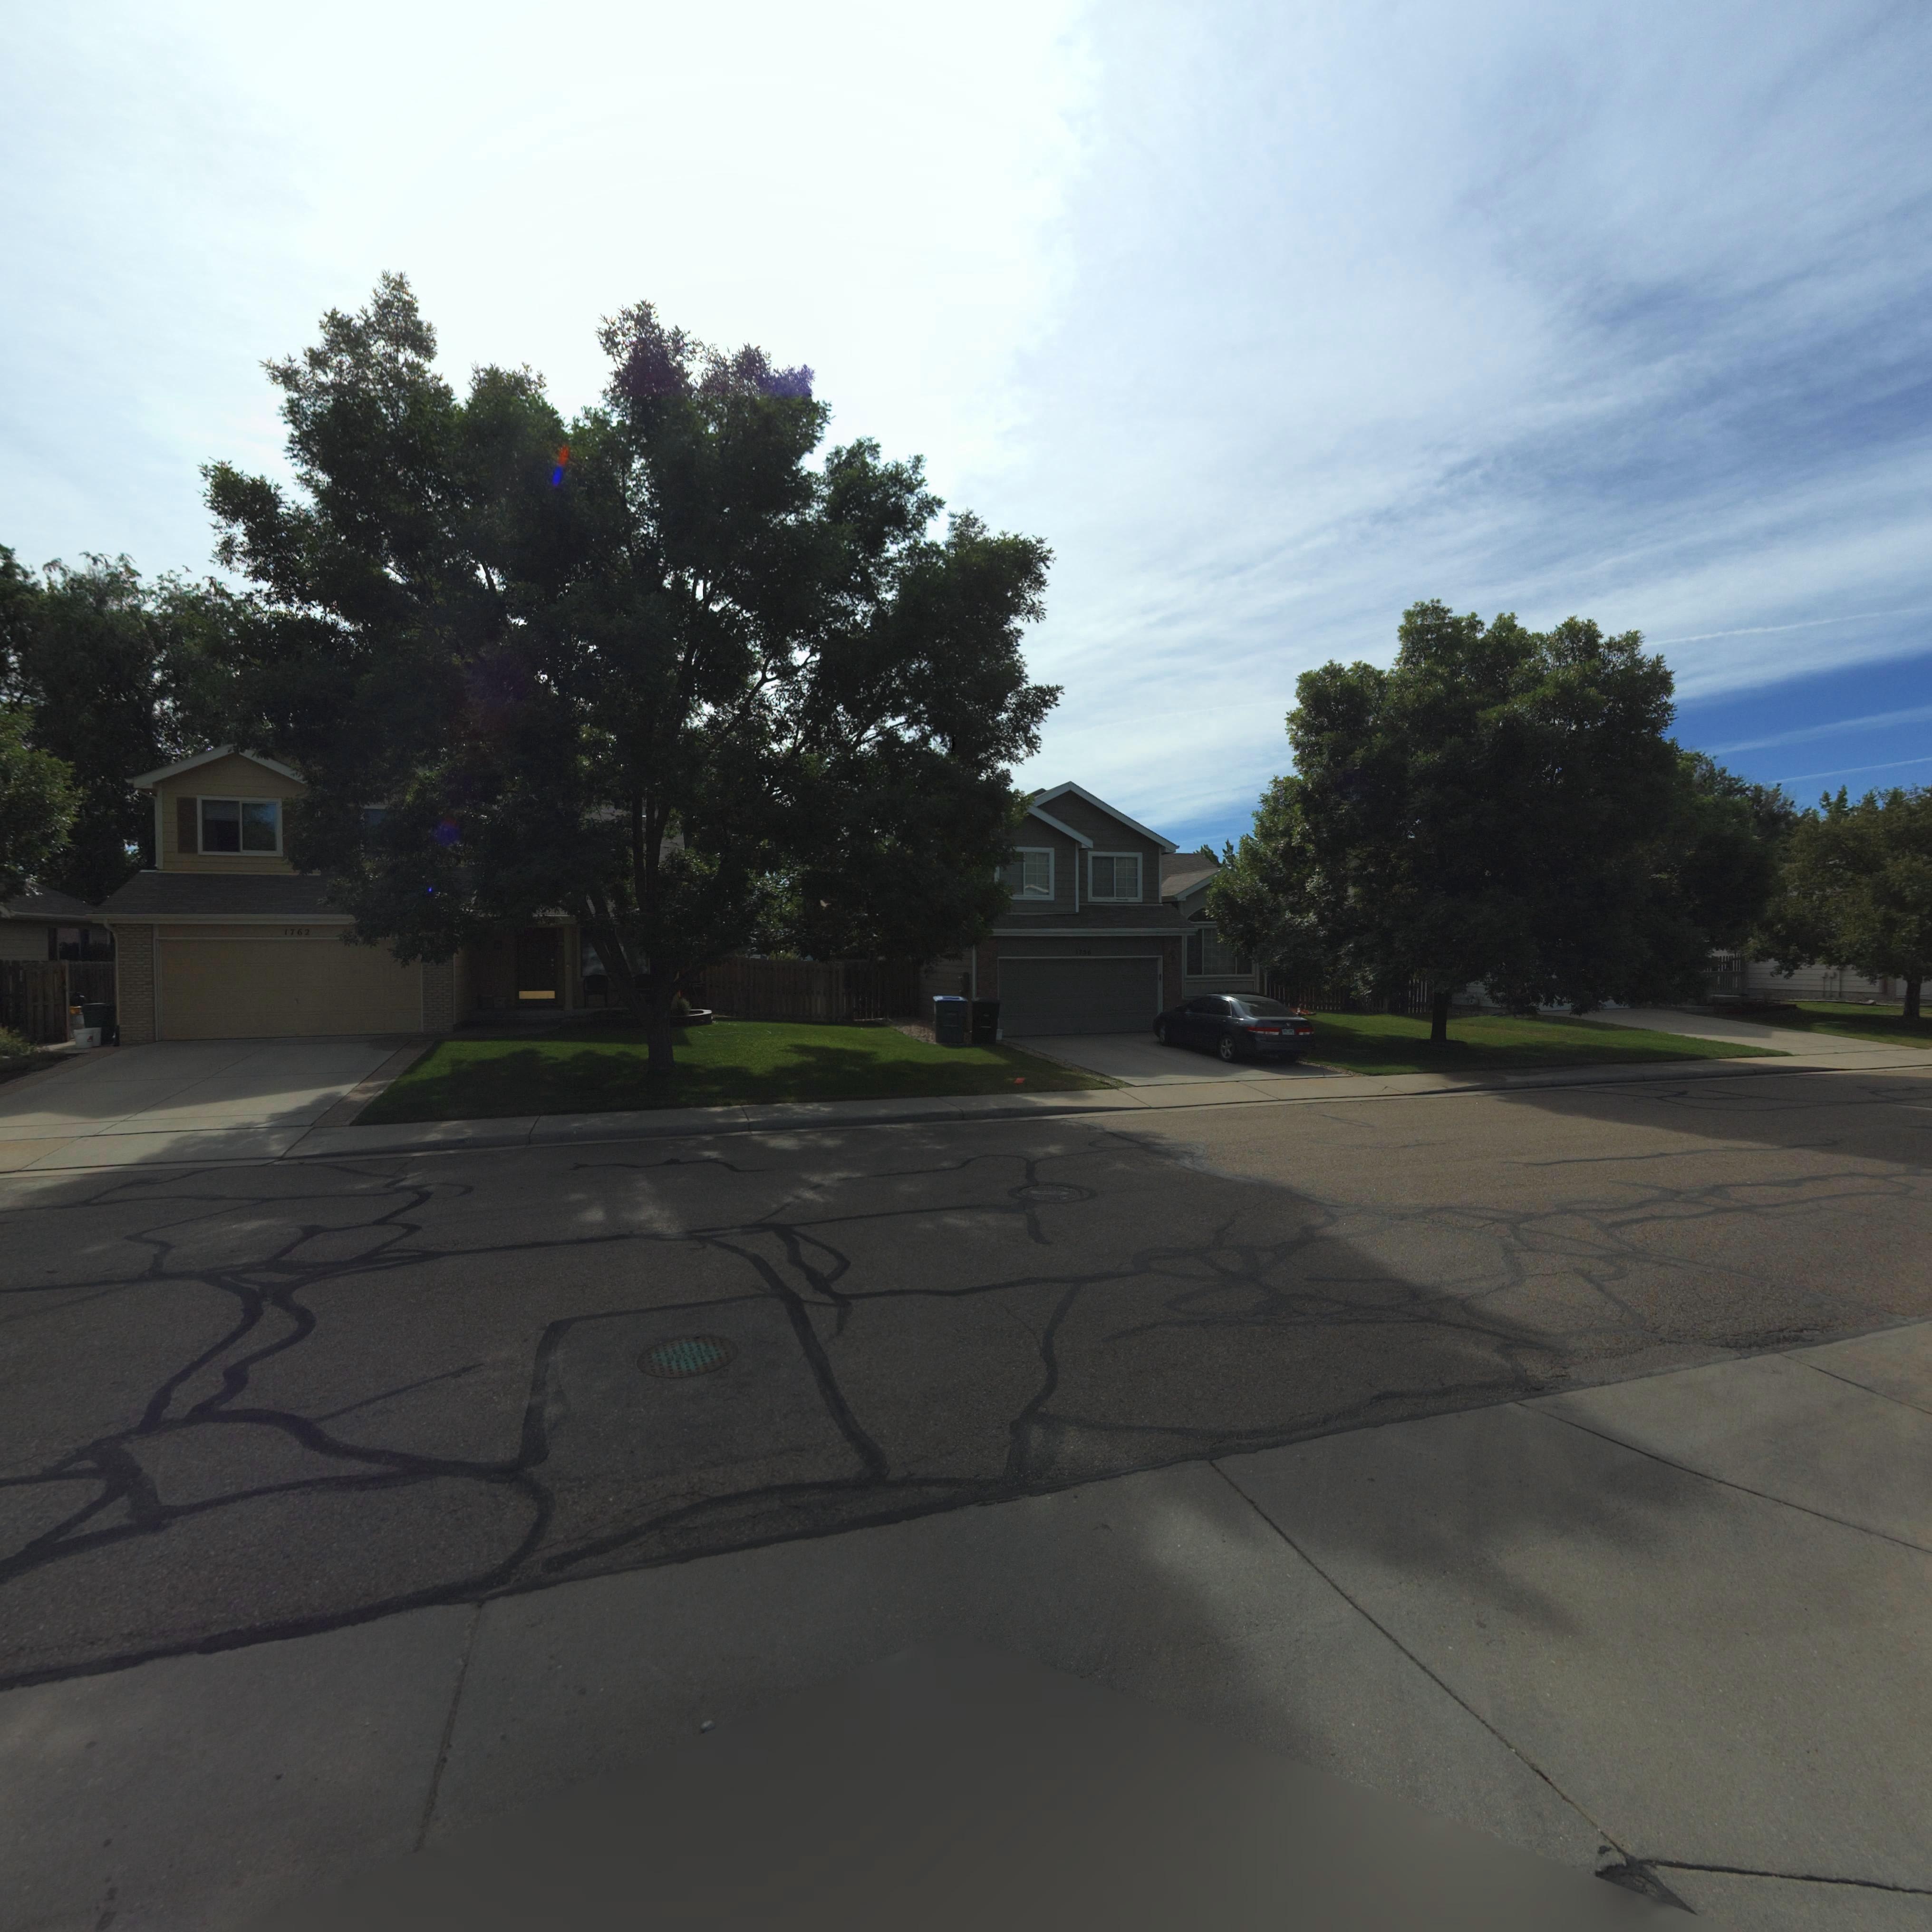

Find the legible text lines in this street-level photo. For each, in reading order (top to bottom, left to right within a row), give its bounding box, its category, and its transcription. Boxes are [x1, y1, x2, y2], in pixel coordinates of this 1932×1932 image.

[284, 928, 310, 936] StreetNumber: 1762
[1075, 948, 1092, 955] StreetNumber: 1756